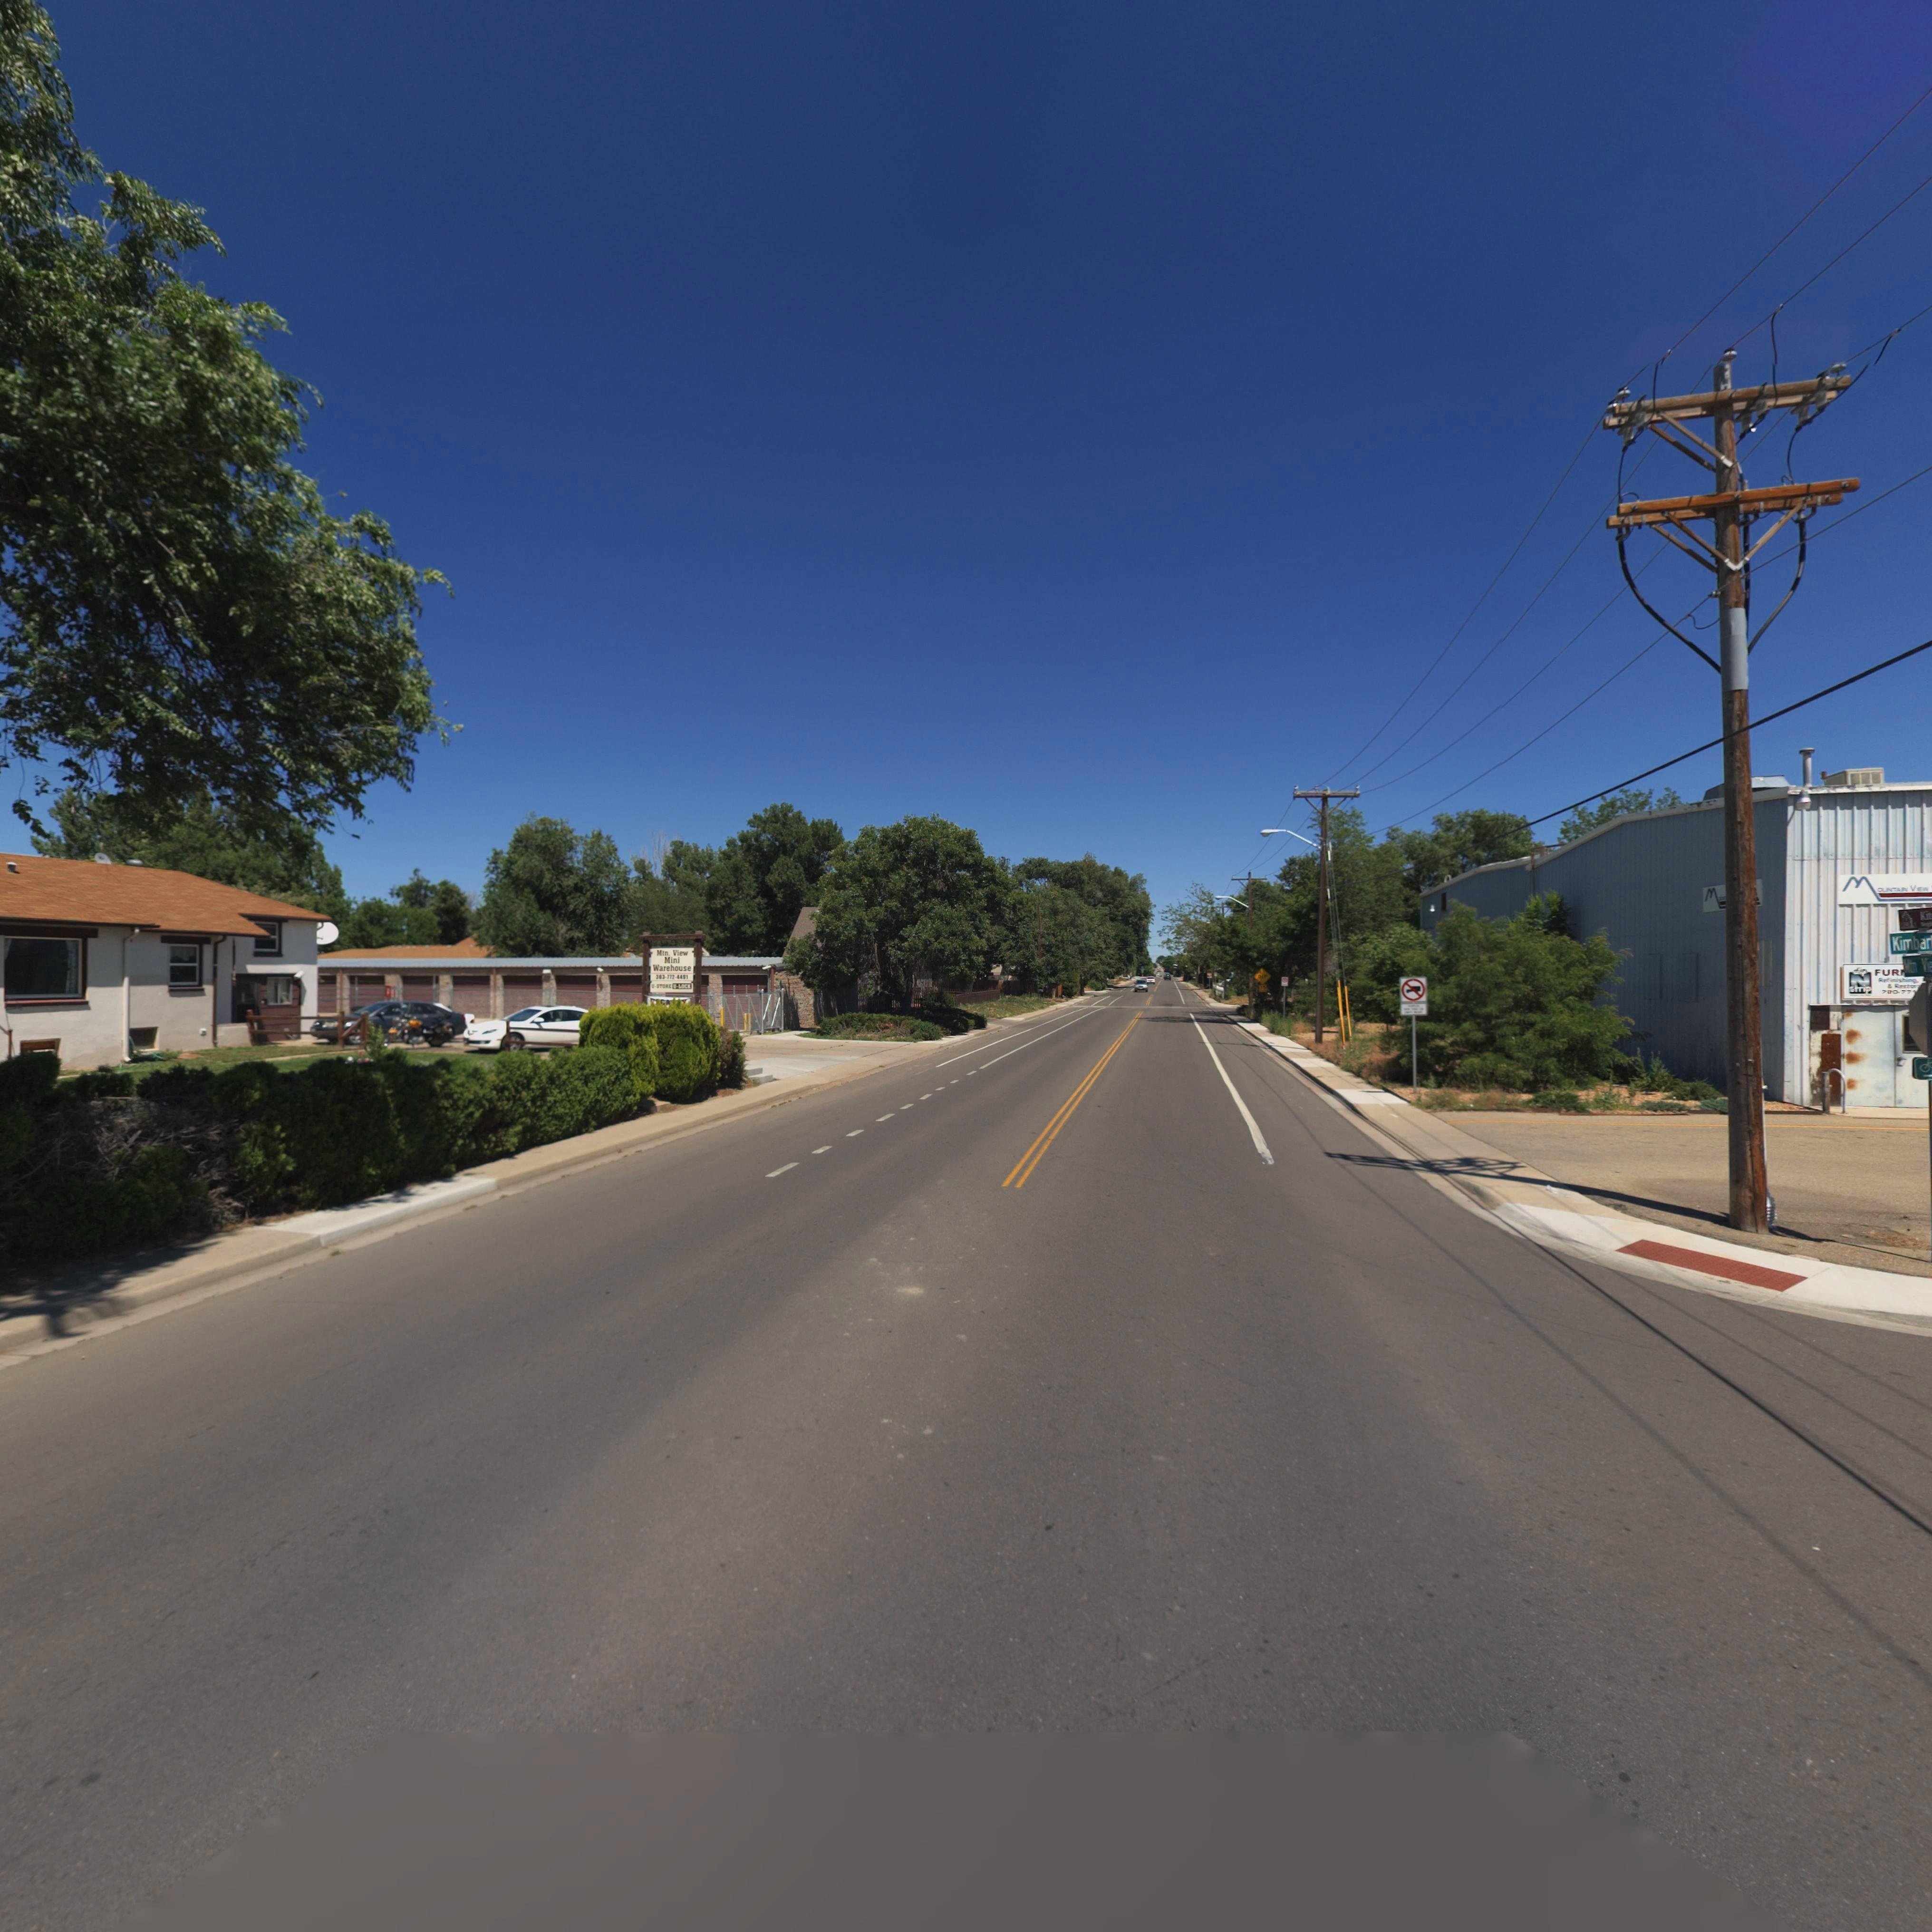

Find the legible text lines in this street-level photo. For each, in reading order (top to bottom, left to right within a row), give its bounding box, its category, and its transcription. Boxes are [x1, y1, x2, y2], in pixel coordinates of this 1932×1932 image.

[1876, 884, 1930, 892] BusinessName: OUNTA*N VIEW
[1892, 935, 1927, 951] StreetName: Kimba
[656, 949, 689, 956] BusinessName: Mtn. View
[664, 956, 680, 964] BusinessName: Mini
[652, 964, 691, 971] BusinessName: Warehouse
[1903, 957, 1929, 973] StreetName: Mtn Vi
[1849, 984, 1871, 995] BusinessName: strip